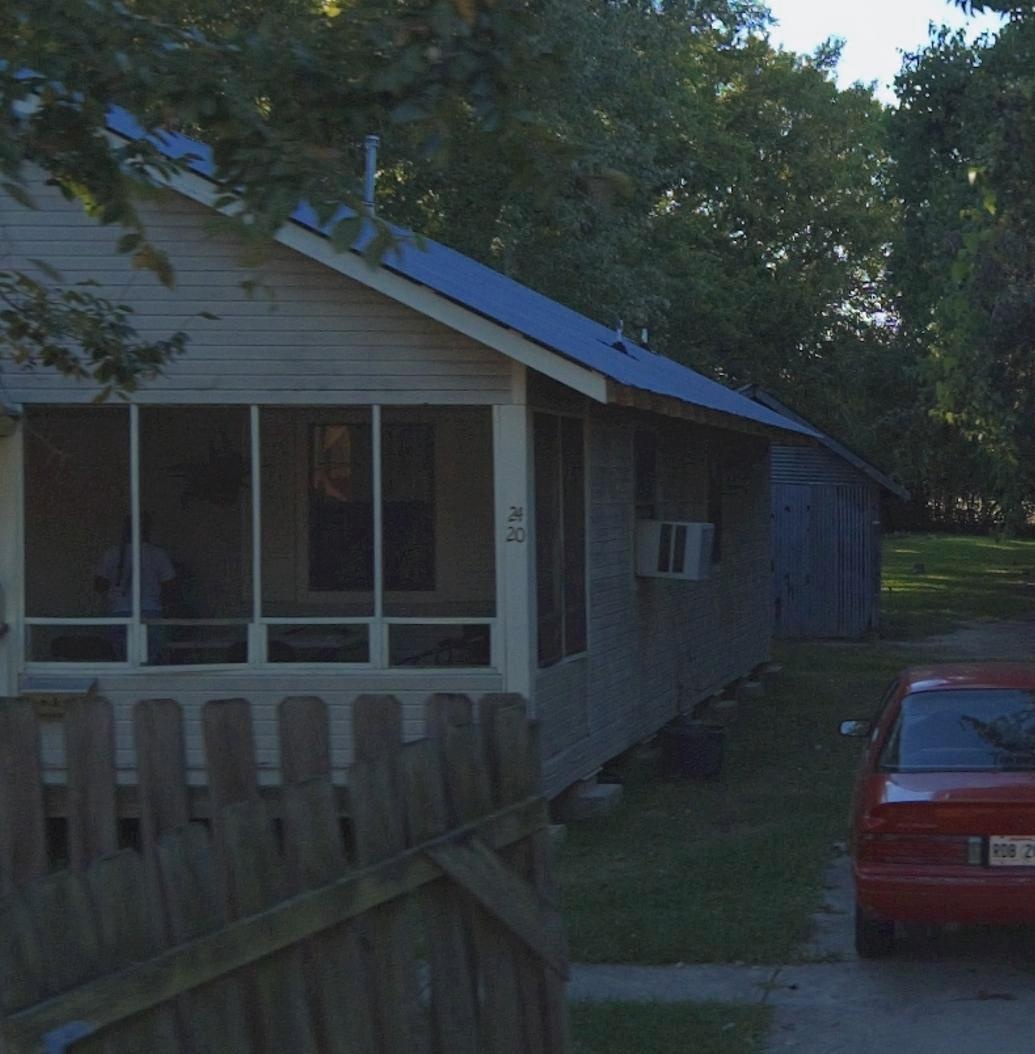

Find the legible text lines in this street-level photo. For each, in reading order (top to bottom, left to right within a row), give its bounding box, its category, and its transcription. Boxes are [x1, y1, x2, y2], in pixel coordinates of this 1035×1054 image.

[507, 504, 525, 523] StreetNumber: 24
[505, 525, 526, 543] StreetNumber: 20
[991, 842, 1032, 859] None: RDB*2